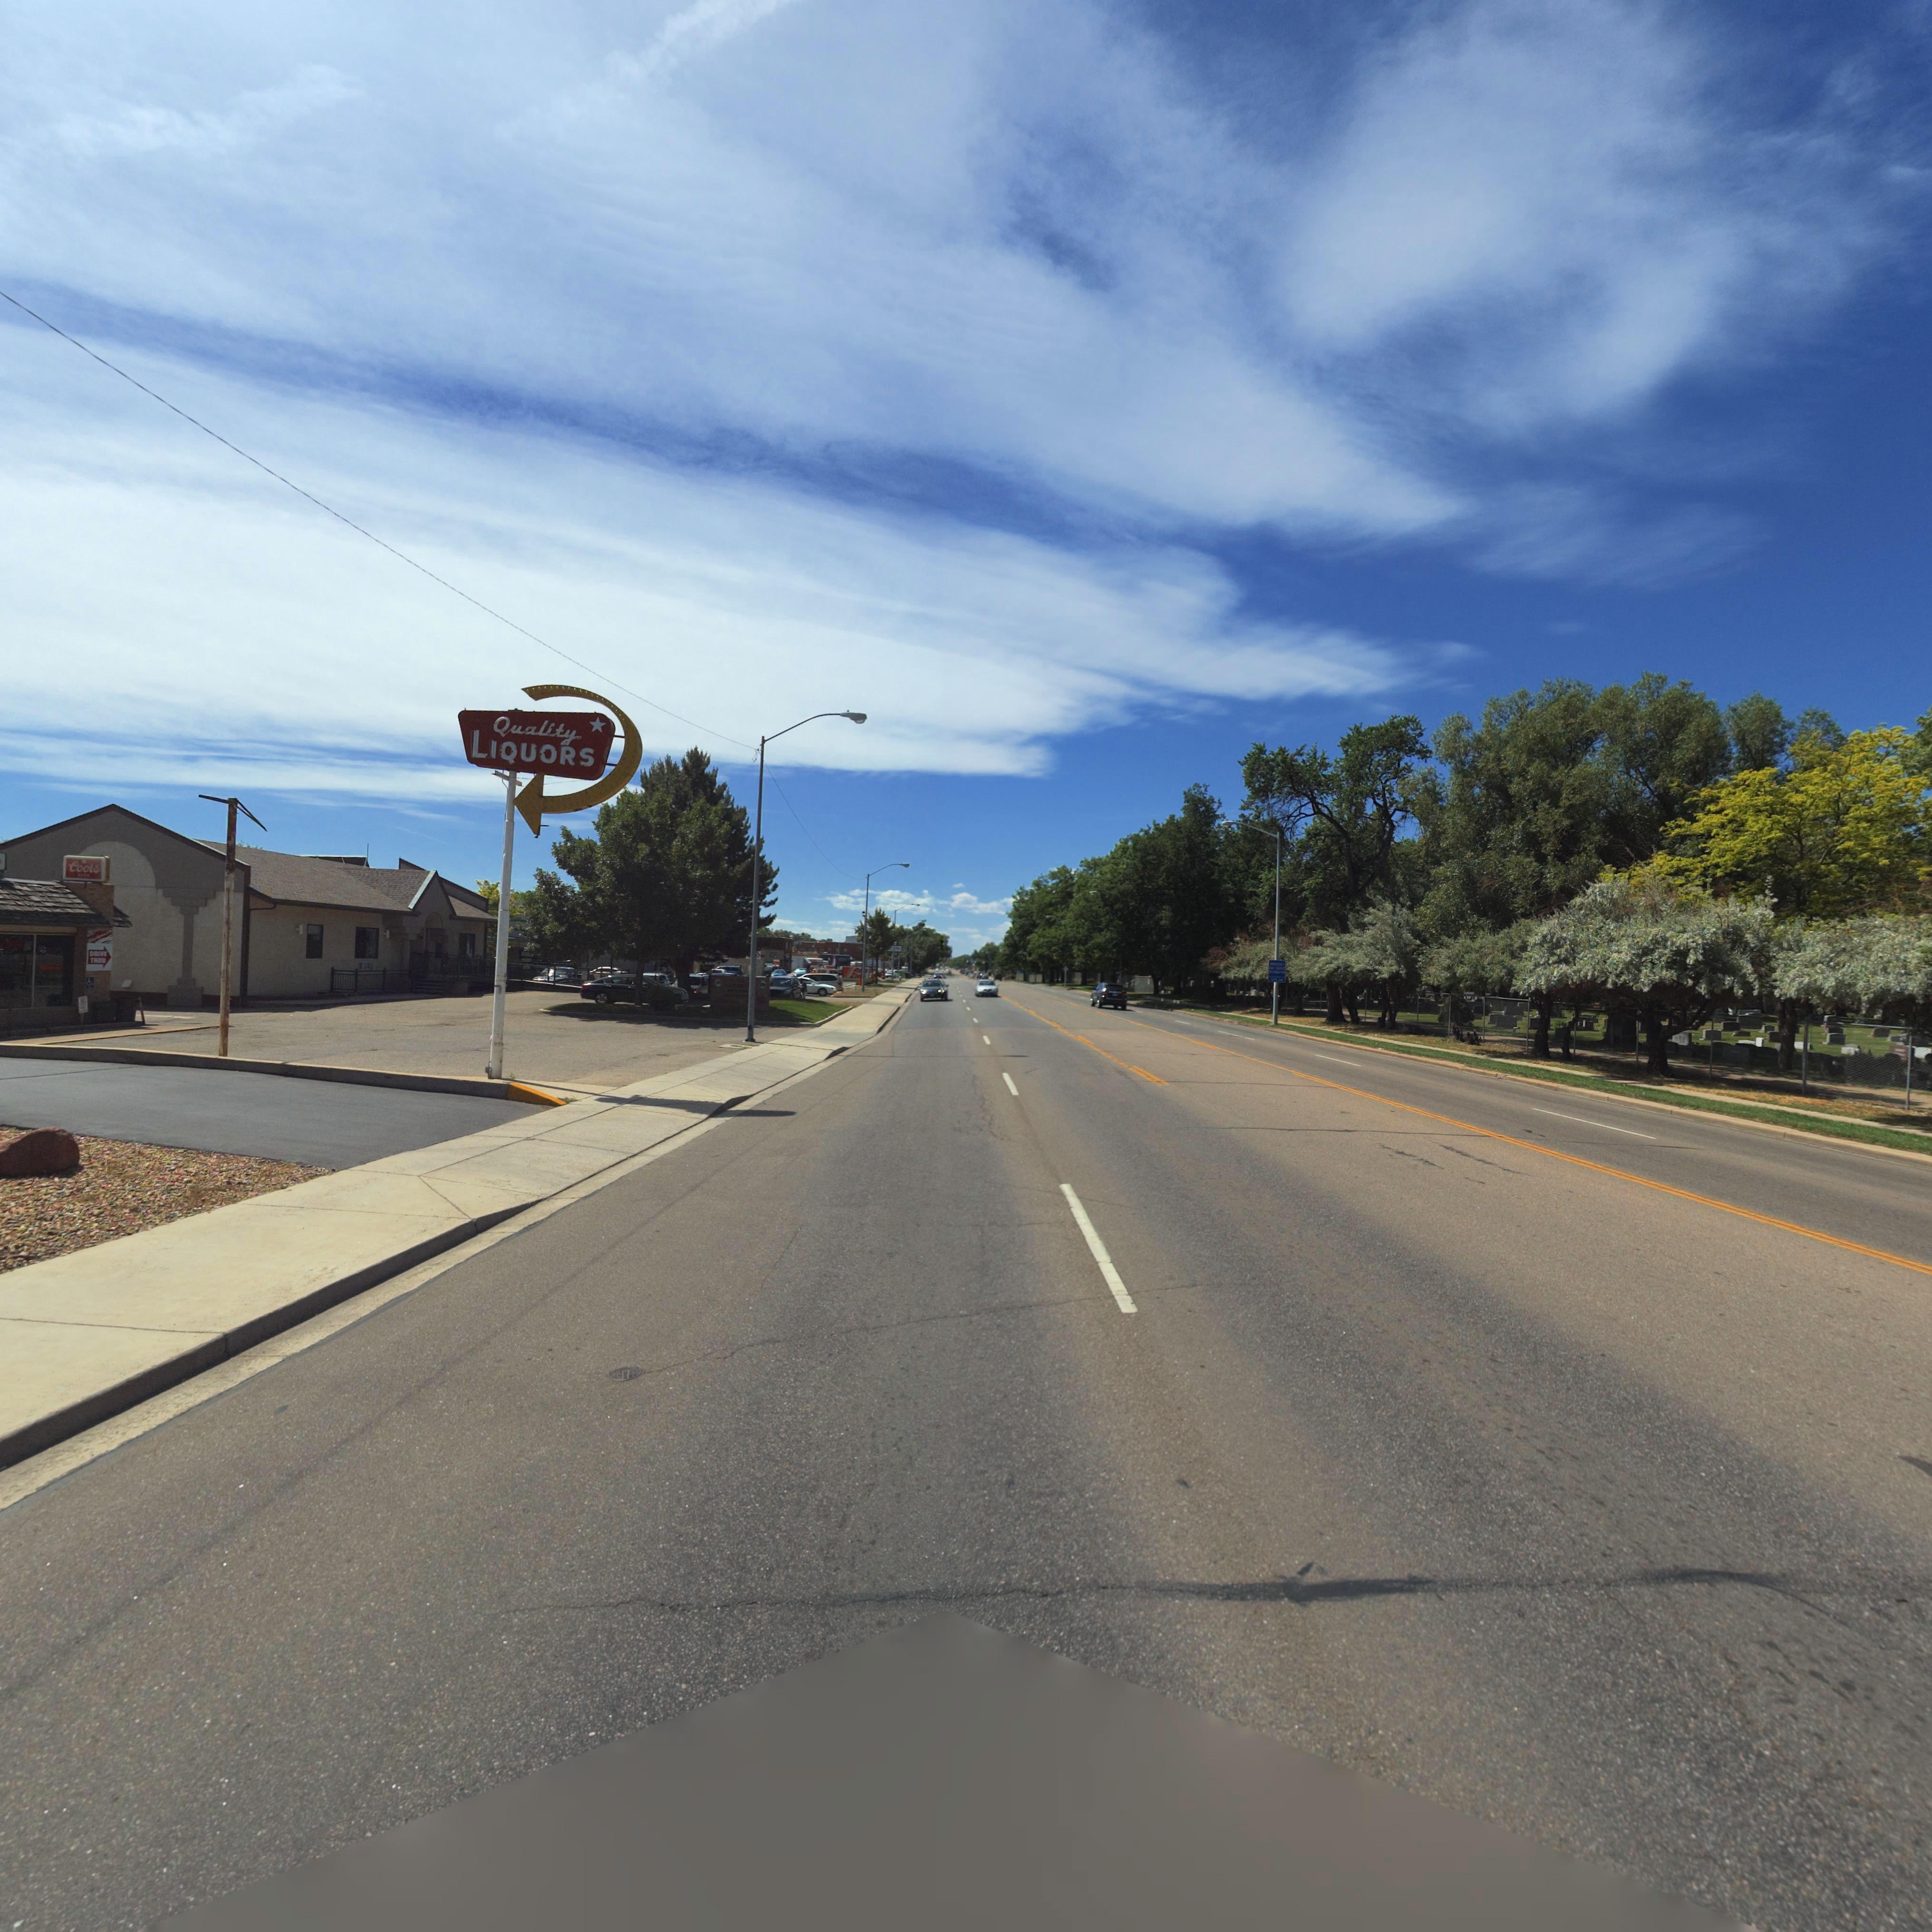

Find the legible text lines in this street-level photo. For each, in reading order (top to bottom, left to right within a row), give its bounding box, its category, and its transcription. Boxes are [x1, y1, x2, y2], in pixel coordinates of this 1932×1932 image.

[492, 716, 577, 745] BusinessName: Quality
[472, 729, 595, 768] BusinessName: LIQUORS
[849, 972, 866, 978] BusinessName: Z***
[852, 967, 868, 974] BusinessName: A***